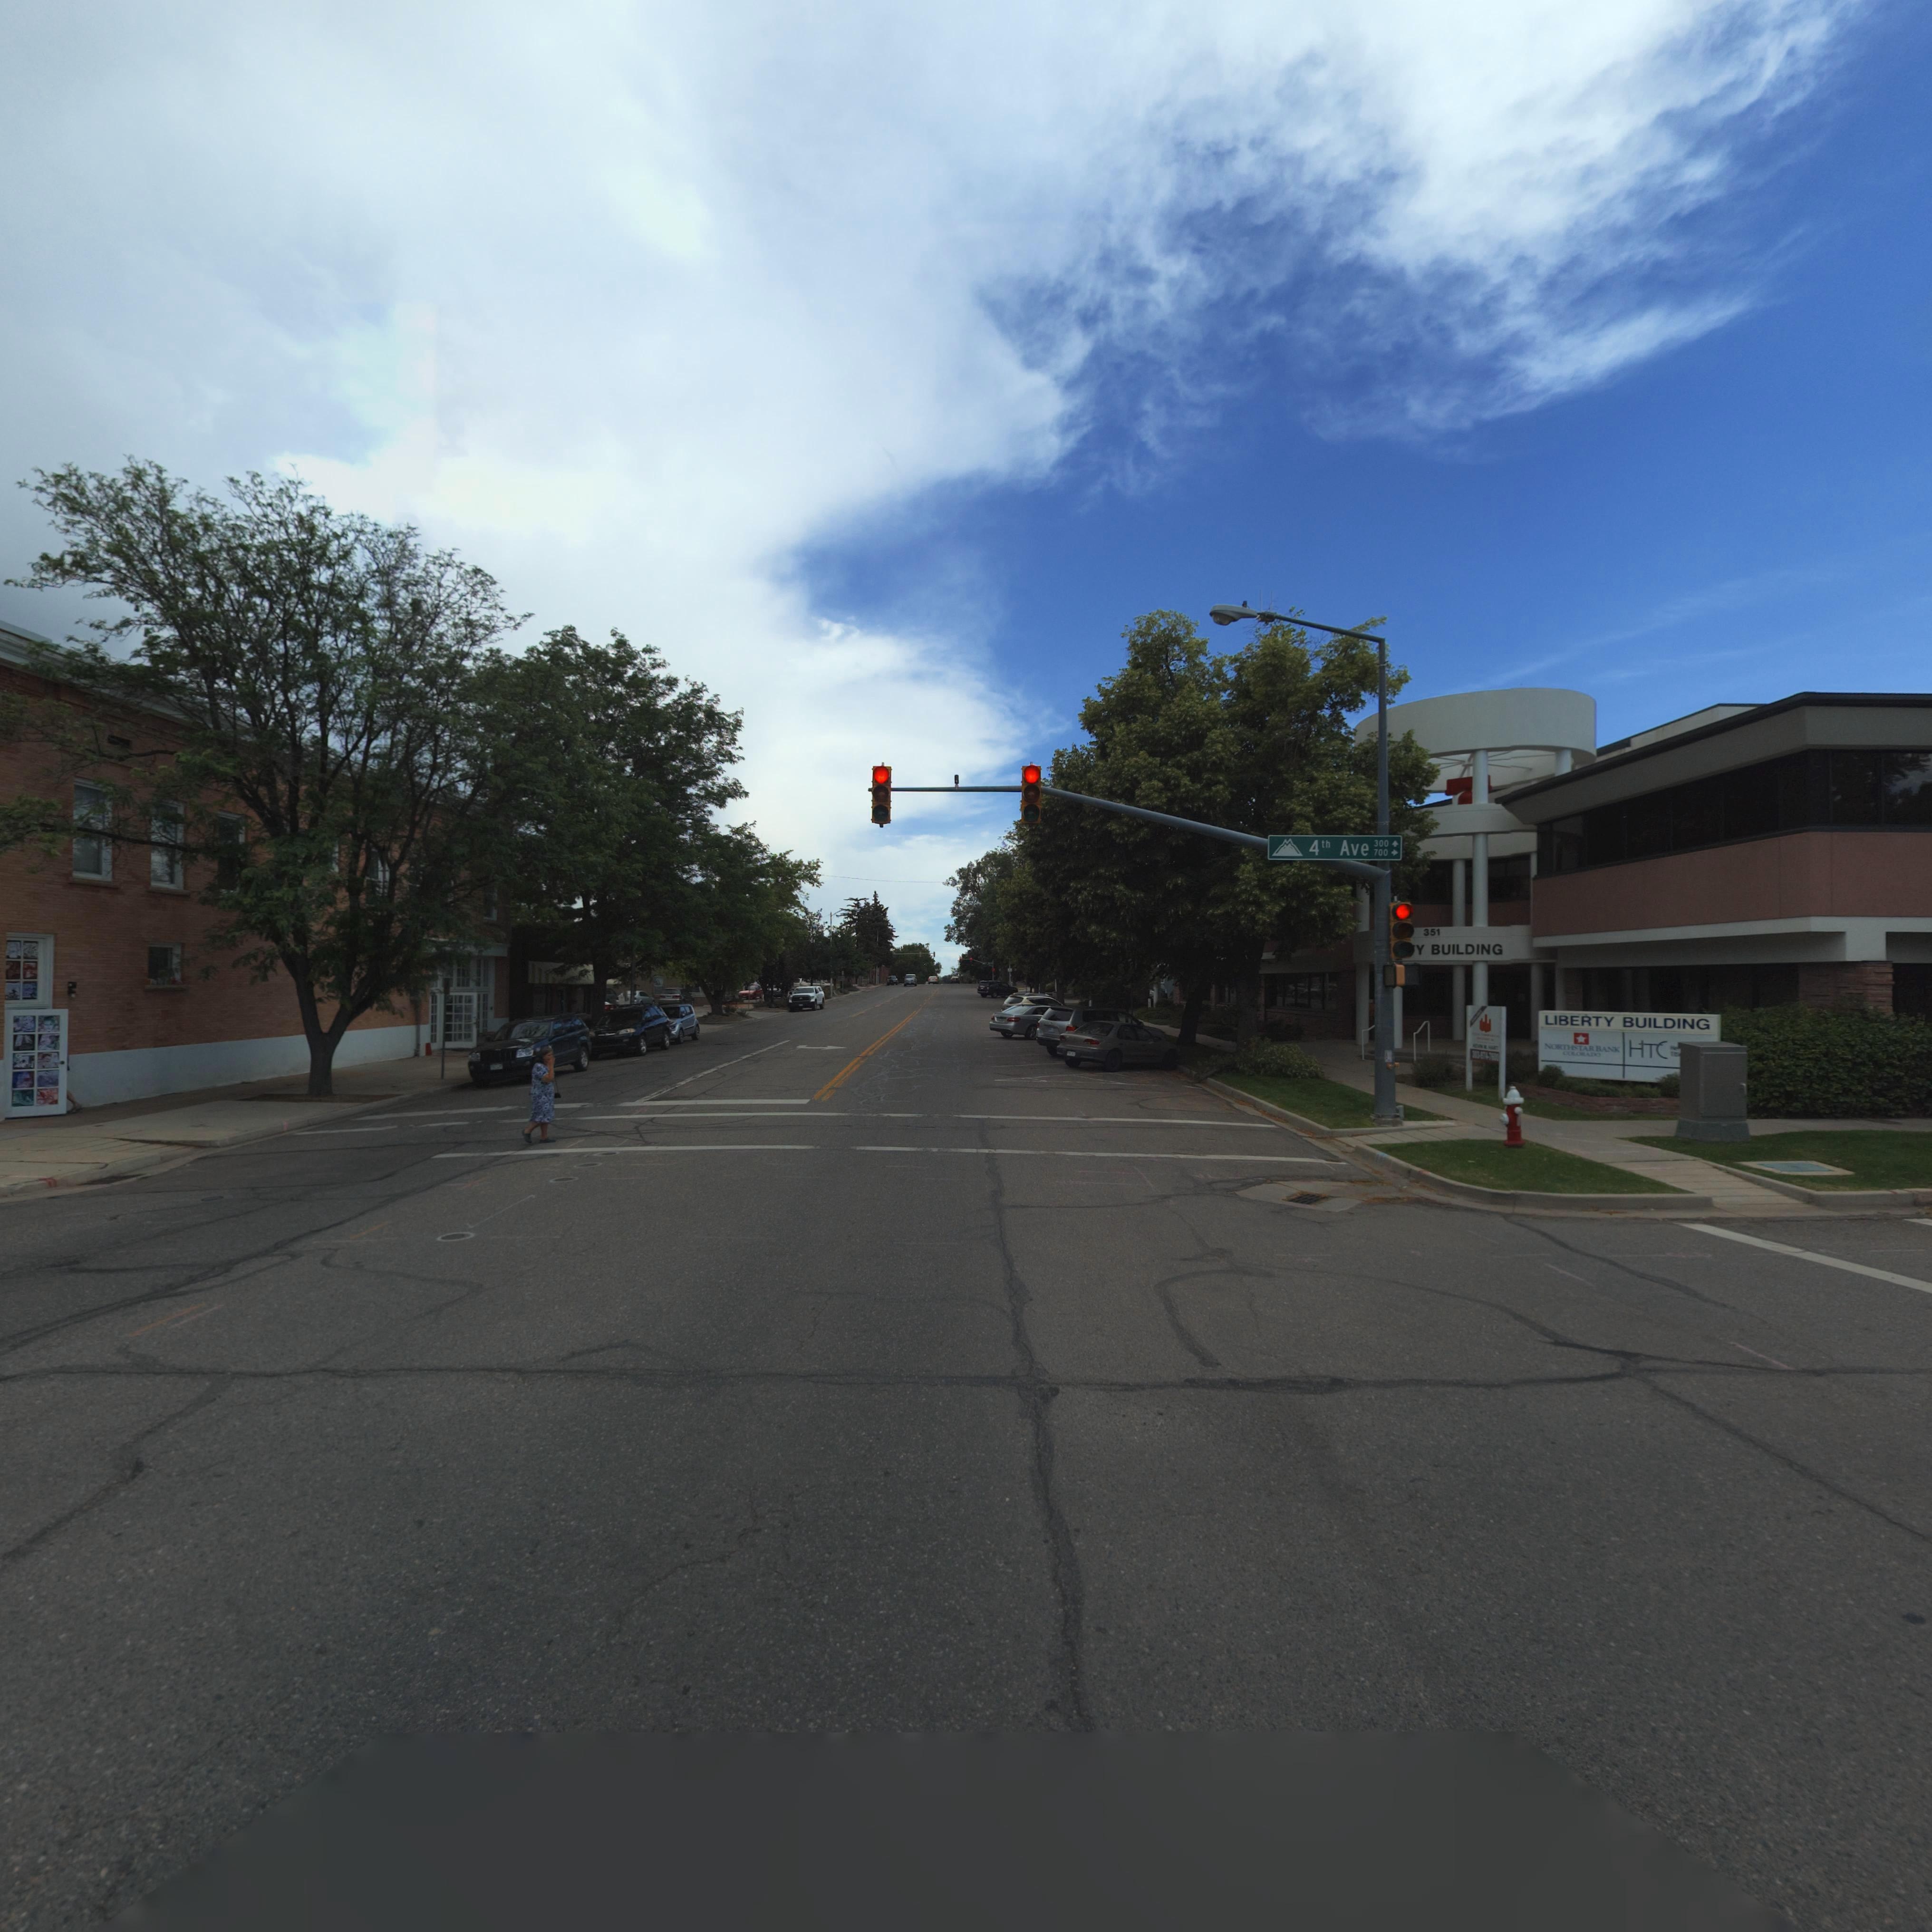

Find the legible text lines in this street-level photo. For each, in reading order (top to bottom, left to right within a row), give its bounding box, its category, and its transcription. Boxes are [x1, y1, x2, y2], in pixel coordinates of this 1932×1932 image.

[1373, 840, 1389, 846] StreetNumber: 300
[1309, 839, 1369, 856] StreetName: 4th Ave
[1373, 849, 1398, 856] StreetNumberRange: 700 ->
[1423, 928, 1439, 936] StreetNumber: 351
[1544, 1042, 1620, 1053] BusinessName: NORTHSTAR BANK
[1628, 1039, 1670, 1060] BusinessName: HTC
[1670, 1045, 1677, 1051] BusinessName: H*
[1670, 1051, 1679, 1057] BusinessName: T*